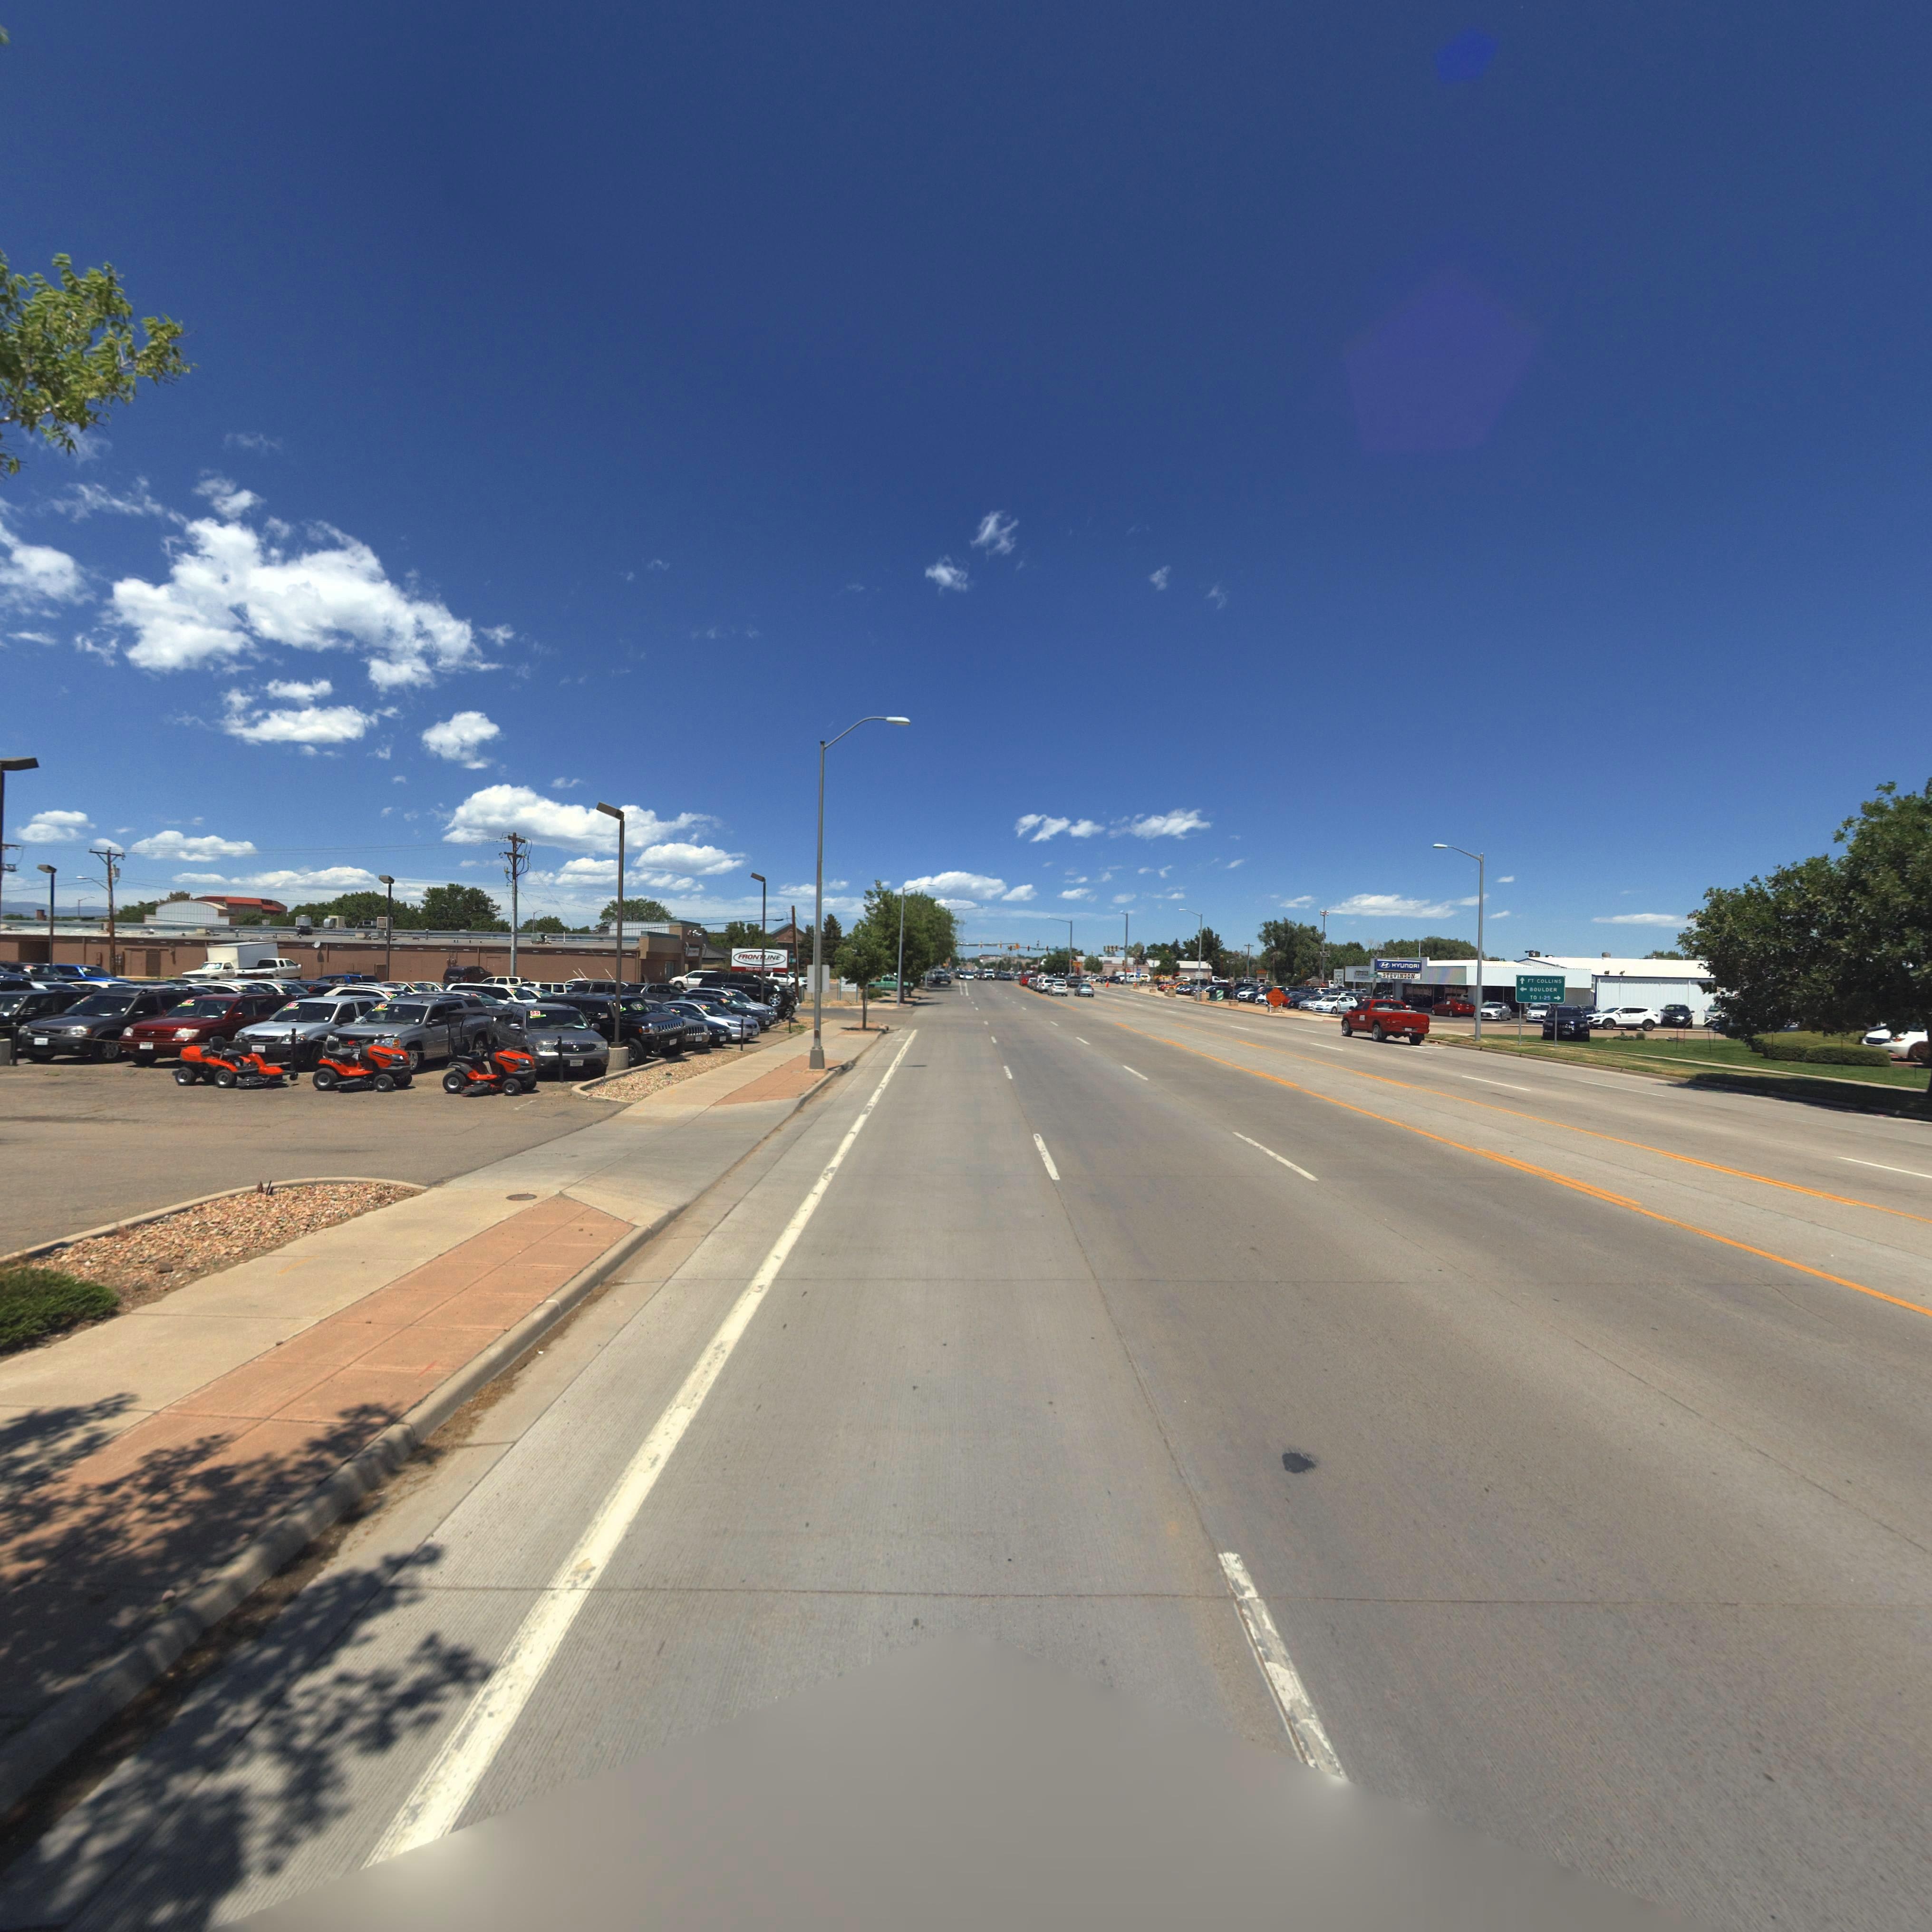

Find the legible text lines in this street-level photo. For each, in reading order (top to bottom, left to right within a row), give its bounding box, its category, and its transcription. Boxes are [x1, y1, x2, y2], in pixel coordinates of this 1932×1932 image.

[737, 953, 782, 960] BusinessName: FRONT*INE
[1391, 963, 1420, 968] BusinessName: HYUnDAI
[1382, 973, 1415, 978] BusinessName: STEVINSON